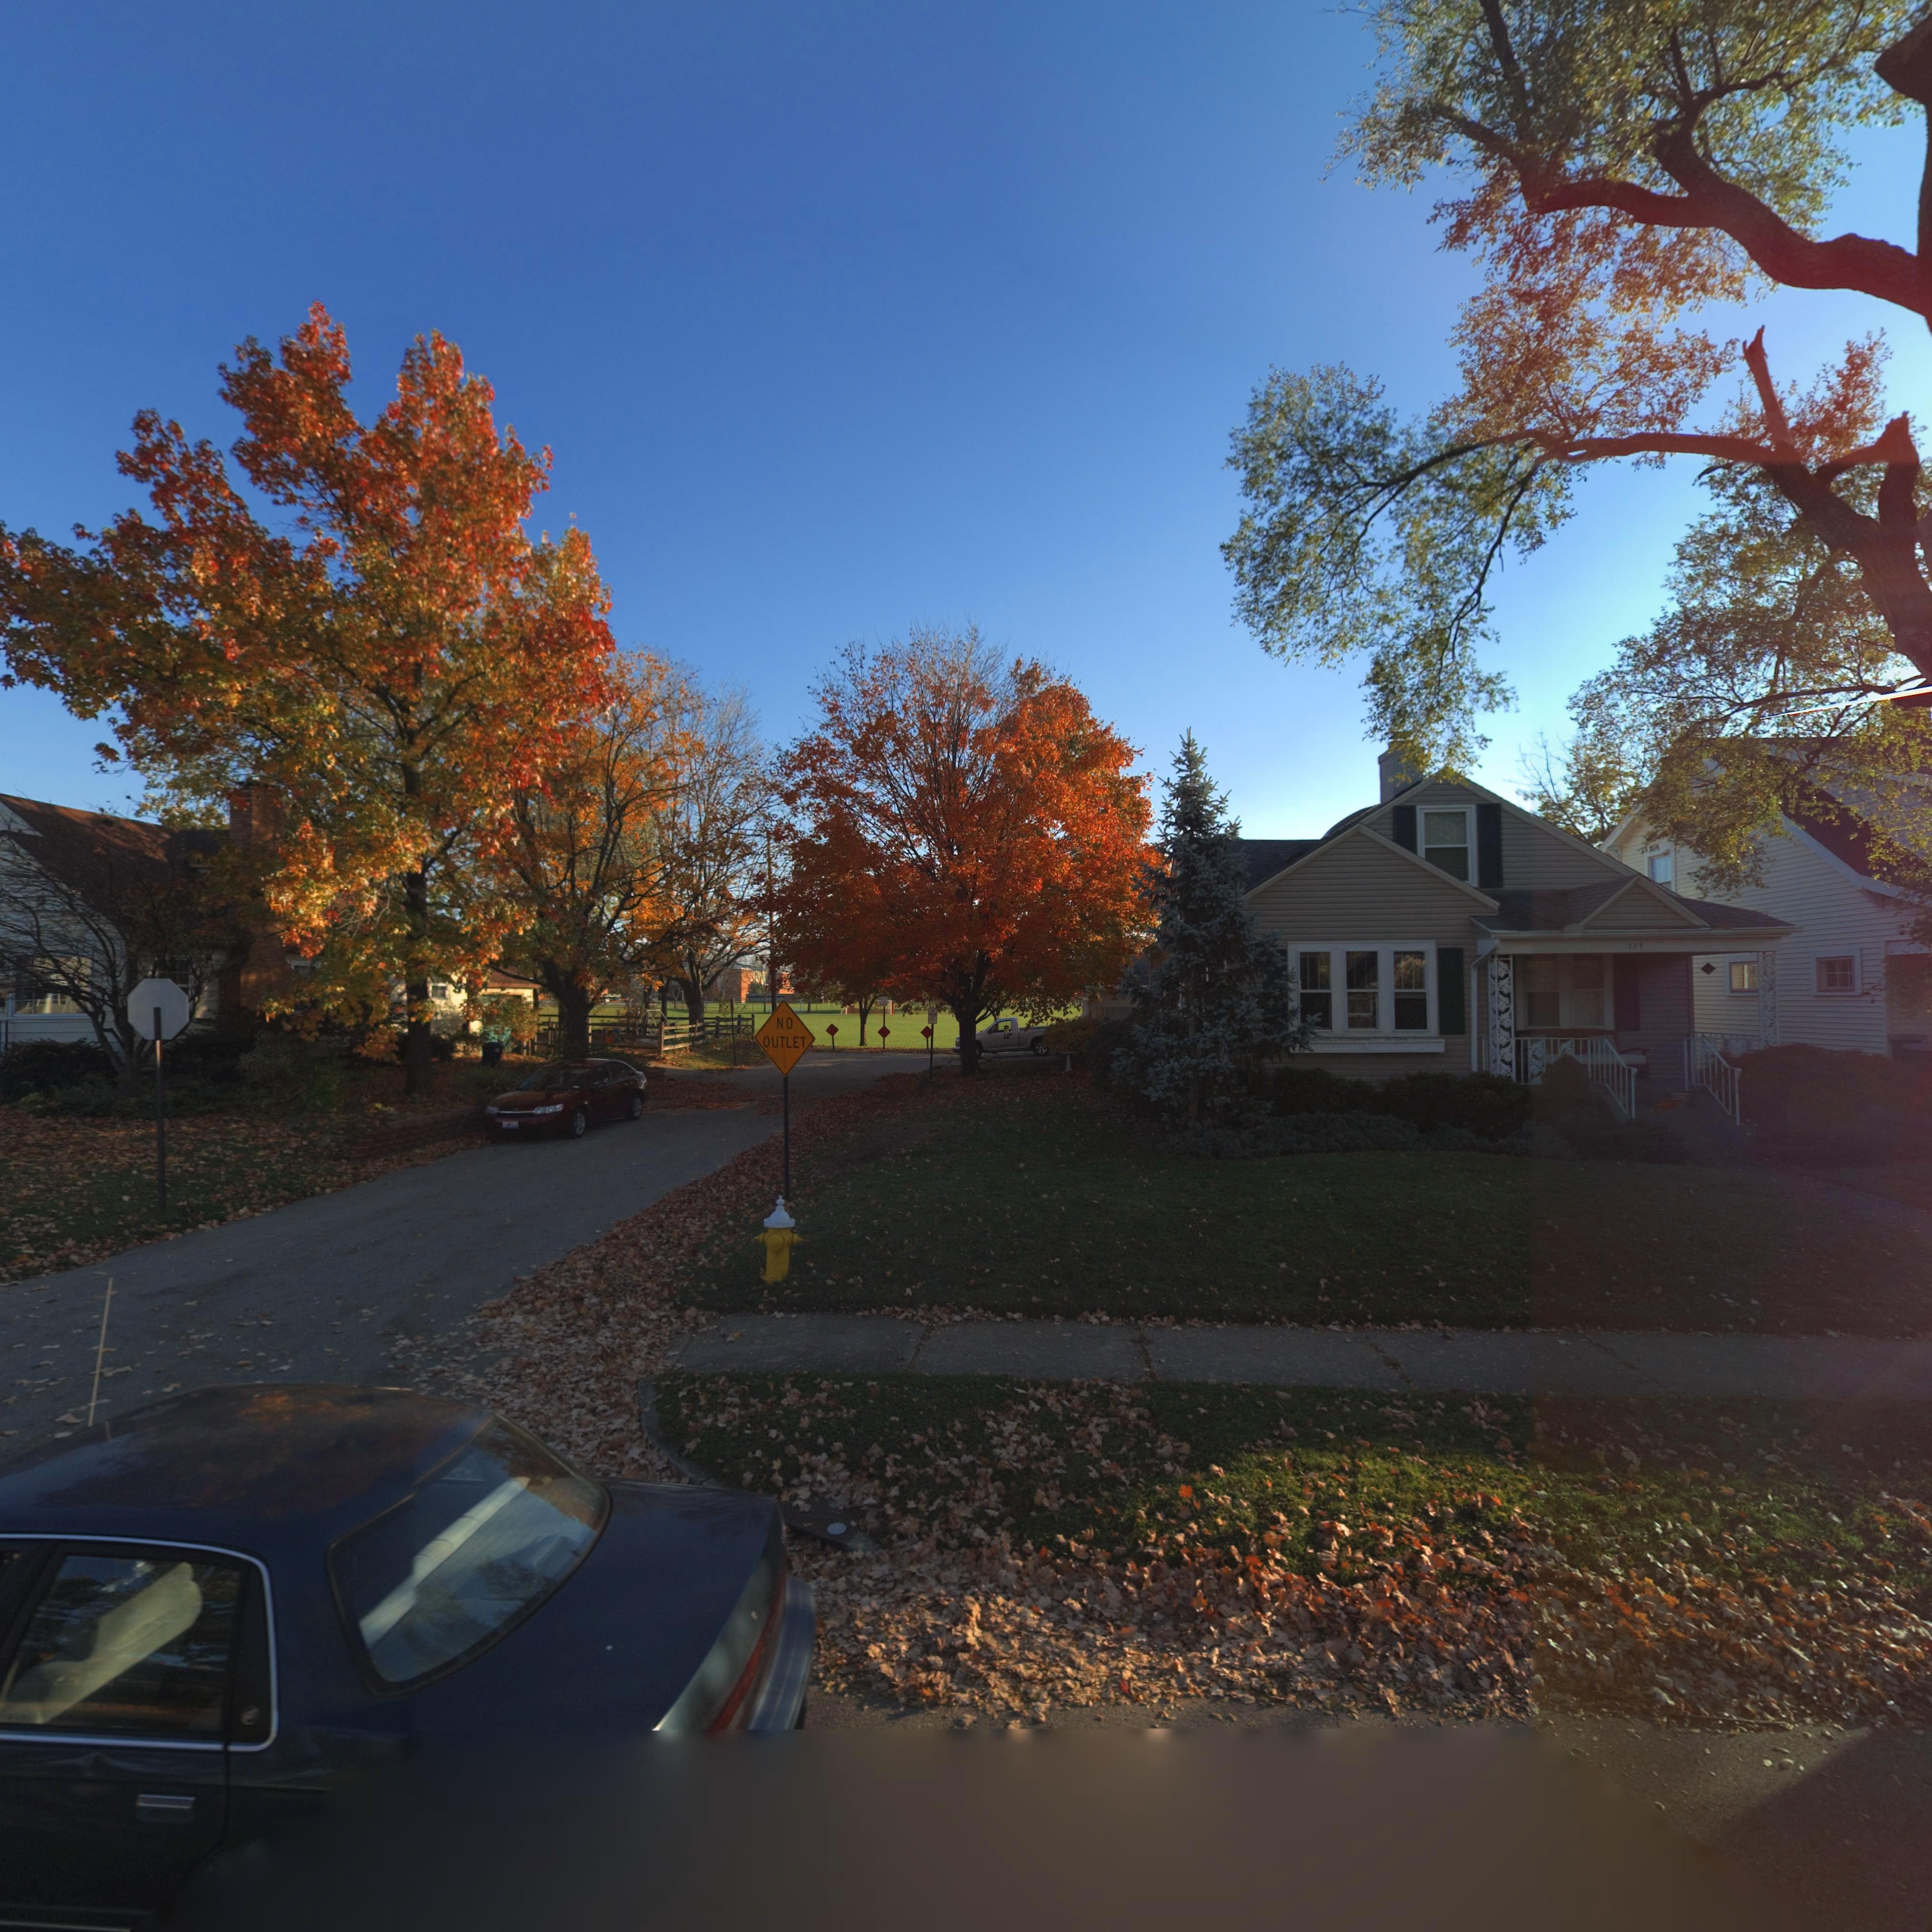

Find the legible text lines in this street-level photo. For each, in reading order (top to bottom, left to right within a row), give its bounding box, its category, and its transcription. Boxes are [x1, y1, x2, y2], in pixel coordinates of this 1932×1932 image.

[1627, 942, 1643, 948] StreetNumber: 228